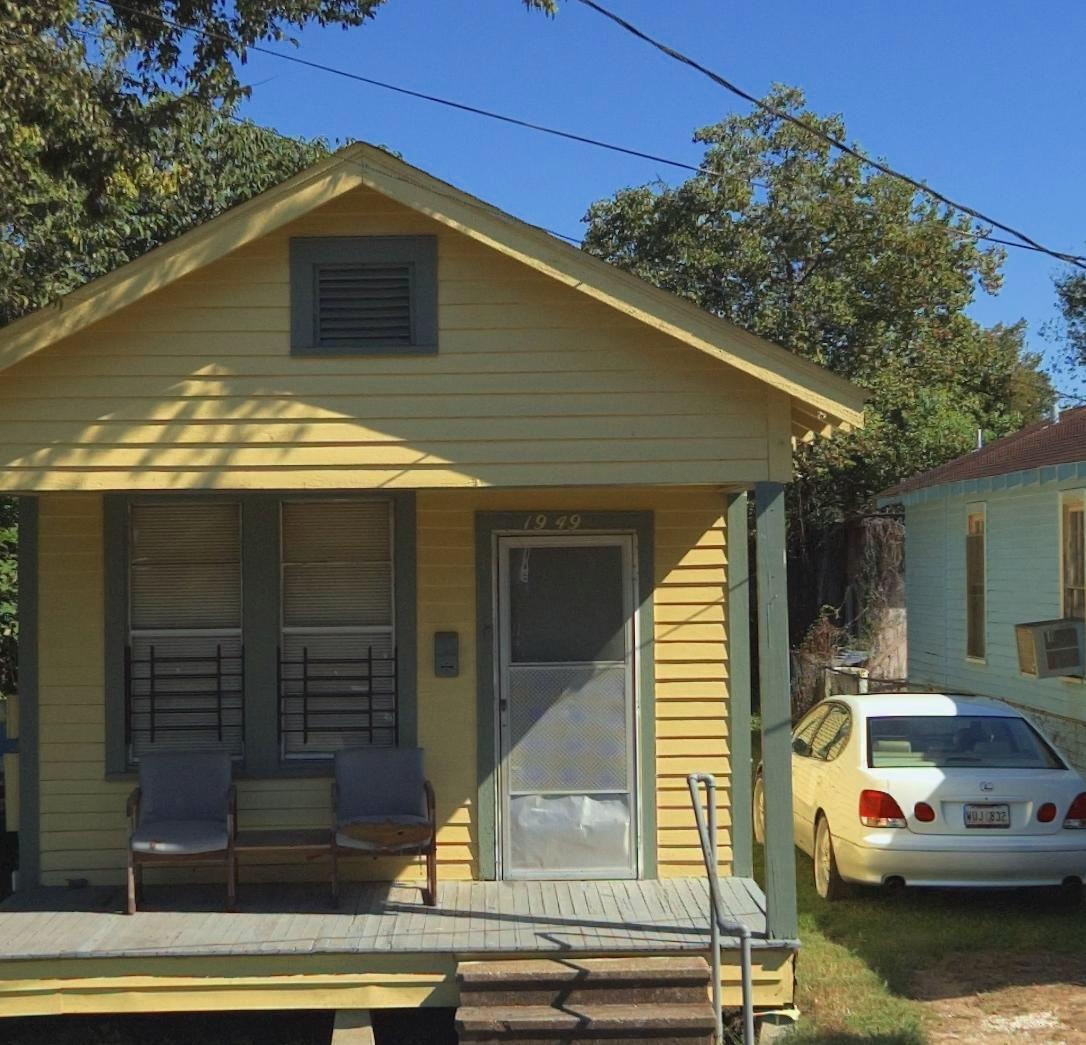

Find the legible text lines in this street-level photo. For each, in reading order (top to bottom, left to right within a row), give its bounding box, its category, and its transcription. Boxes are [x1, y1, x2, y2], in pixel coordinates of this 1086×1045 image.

[521, 511, 583, 532] StreetNumber: 1949
[965, 809, 1008, 824] None: WUJ 832